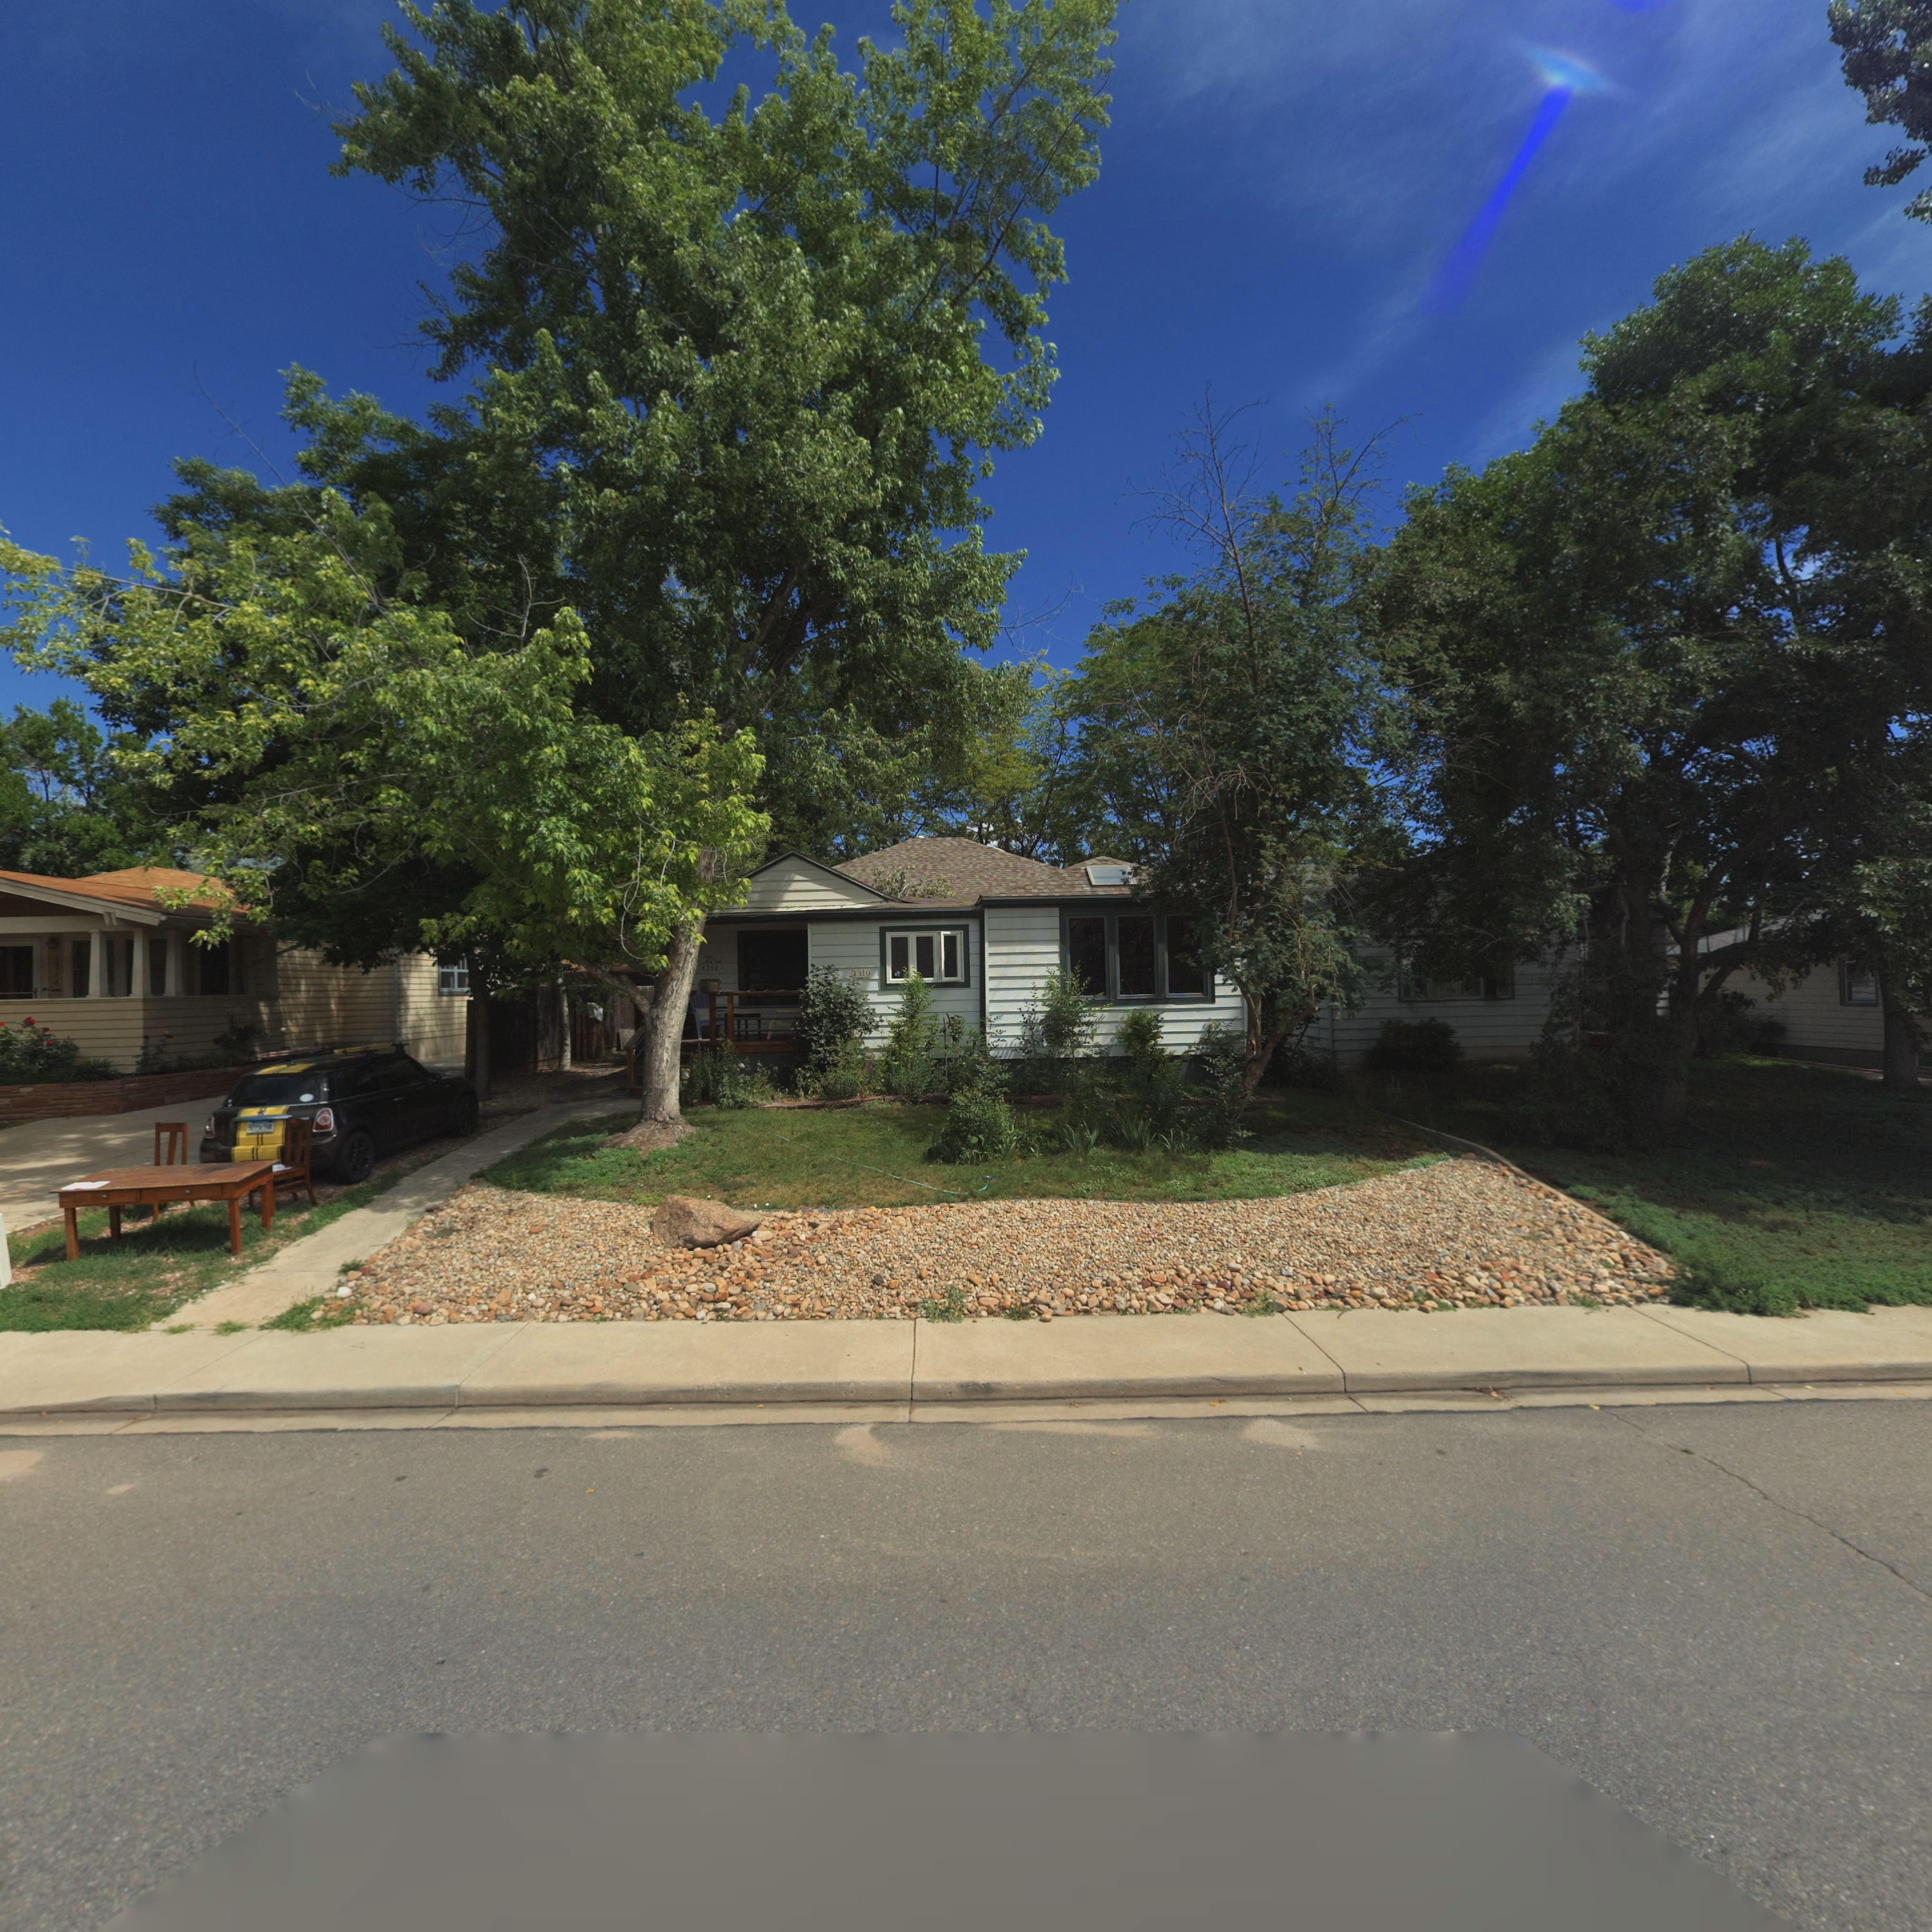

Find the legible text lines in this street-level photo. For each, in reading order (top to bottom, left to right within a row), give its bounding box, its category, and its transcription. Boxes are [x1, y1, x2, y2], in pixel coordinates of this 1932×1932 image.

[53, 955, 59, 986] StreetNumber: 1*14
[701, 964, 718, 971] StreetNumber: 1310
[852, 969, 870, 977] StreetNumber: *310